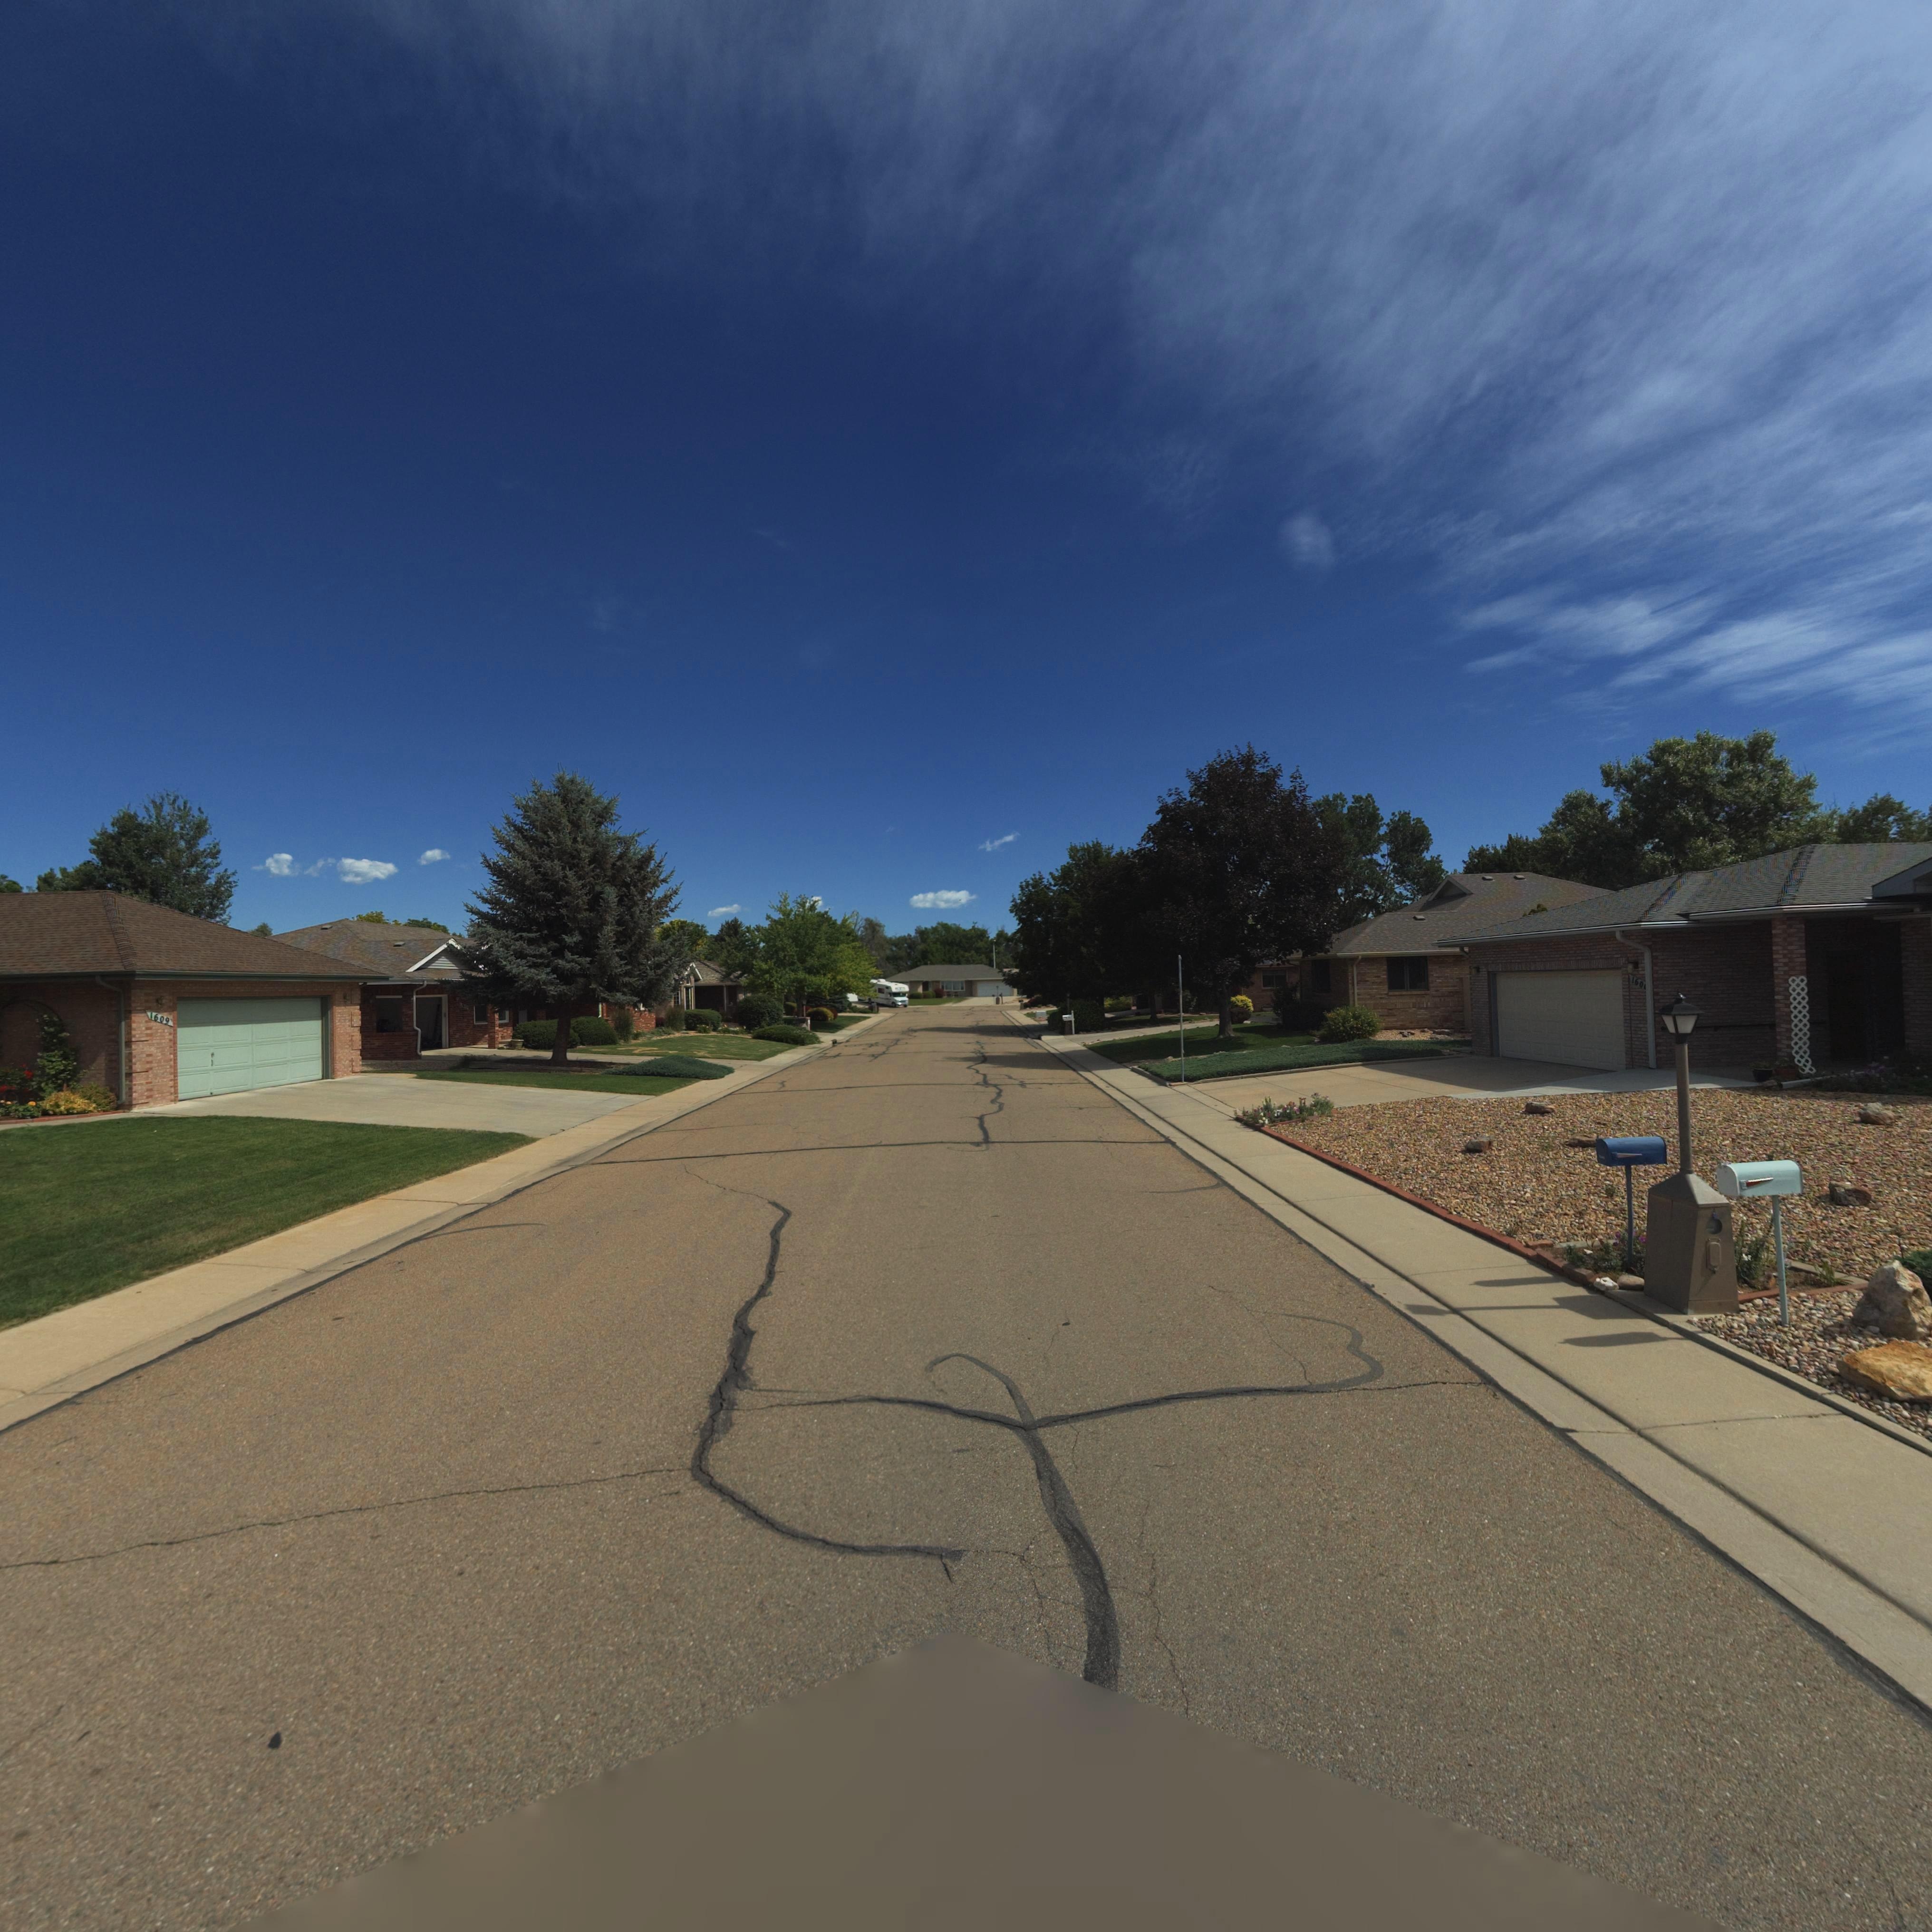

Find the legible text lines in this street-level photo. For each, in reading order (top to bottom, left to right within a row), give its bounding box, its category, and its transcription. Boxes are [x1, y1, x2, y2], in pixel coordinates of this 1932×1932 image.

[1631, 976, 1644, 988] StreetNumber: 160
[149, 1011, 170, 1024] StreetNumber: 1609